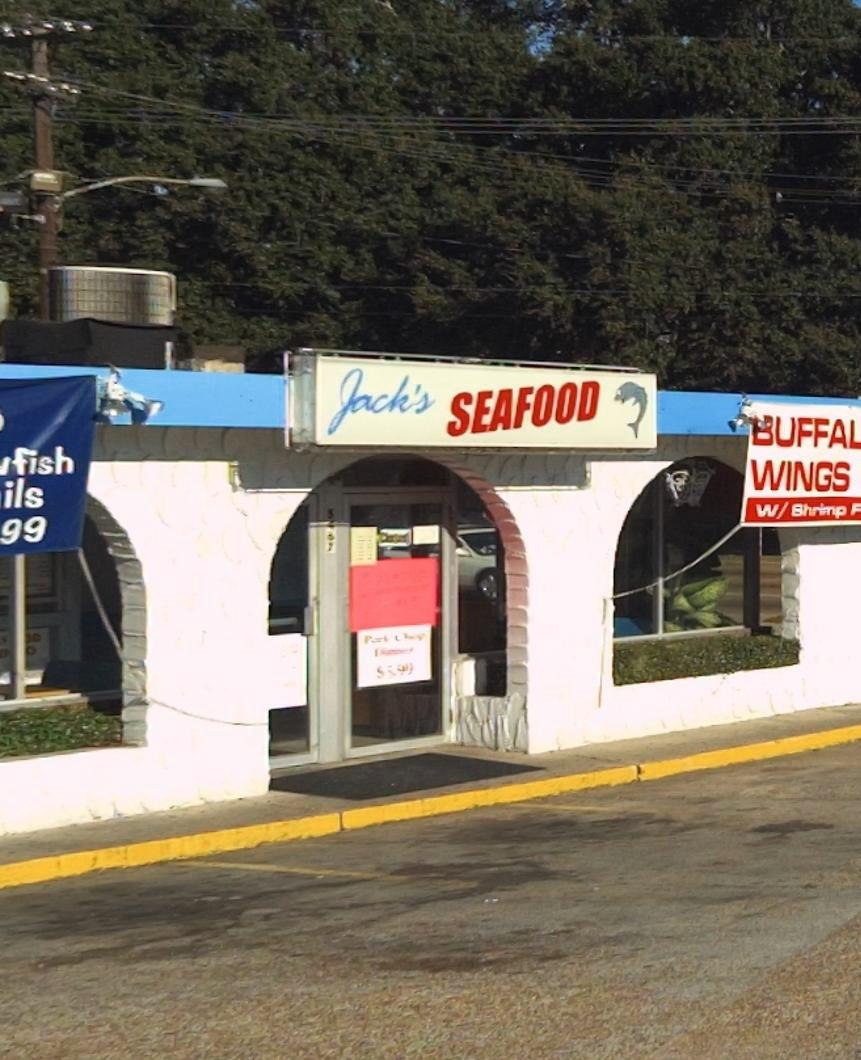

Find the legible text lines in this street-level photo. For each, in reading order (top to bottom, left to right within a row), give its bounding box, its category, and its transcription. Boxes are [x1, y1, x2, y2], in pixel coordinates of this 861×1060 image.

[324, 366, 604, 440] BusinessName: Jack's SEAFOOD
[773, 412, 851, 452] None: UFFA
[1, 476, 47, 510] None: ils
[10, 442, 76, 478] None: fish
[752, 500, 850, 521] None: W/Shrimp
[748, 457, 855, 494] None: WINGS
[0, 514, 54, 548] None: 99
[325, 507, 336, 554] StreetNumber: 5467
[385, 661, 416, 679] None: 5.99